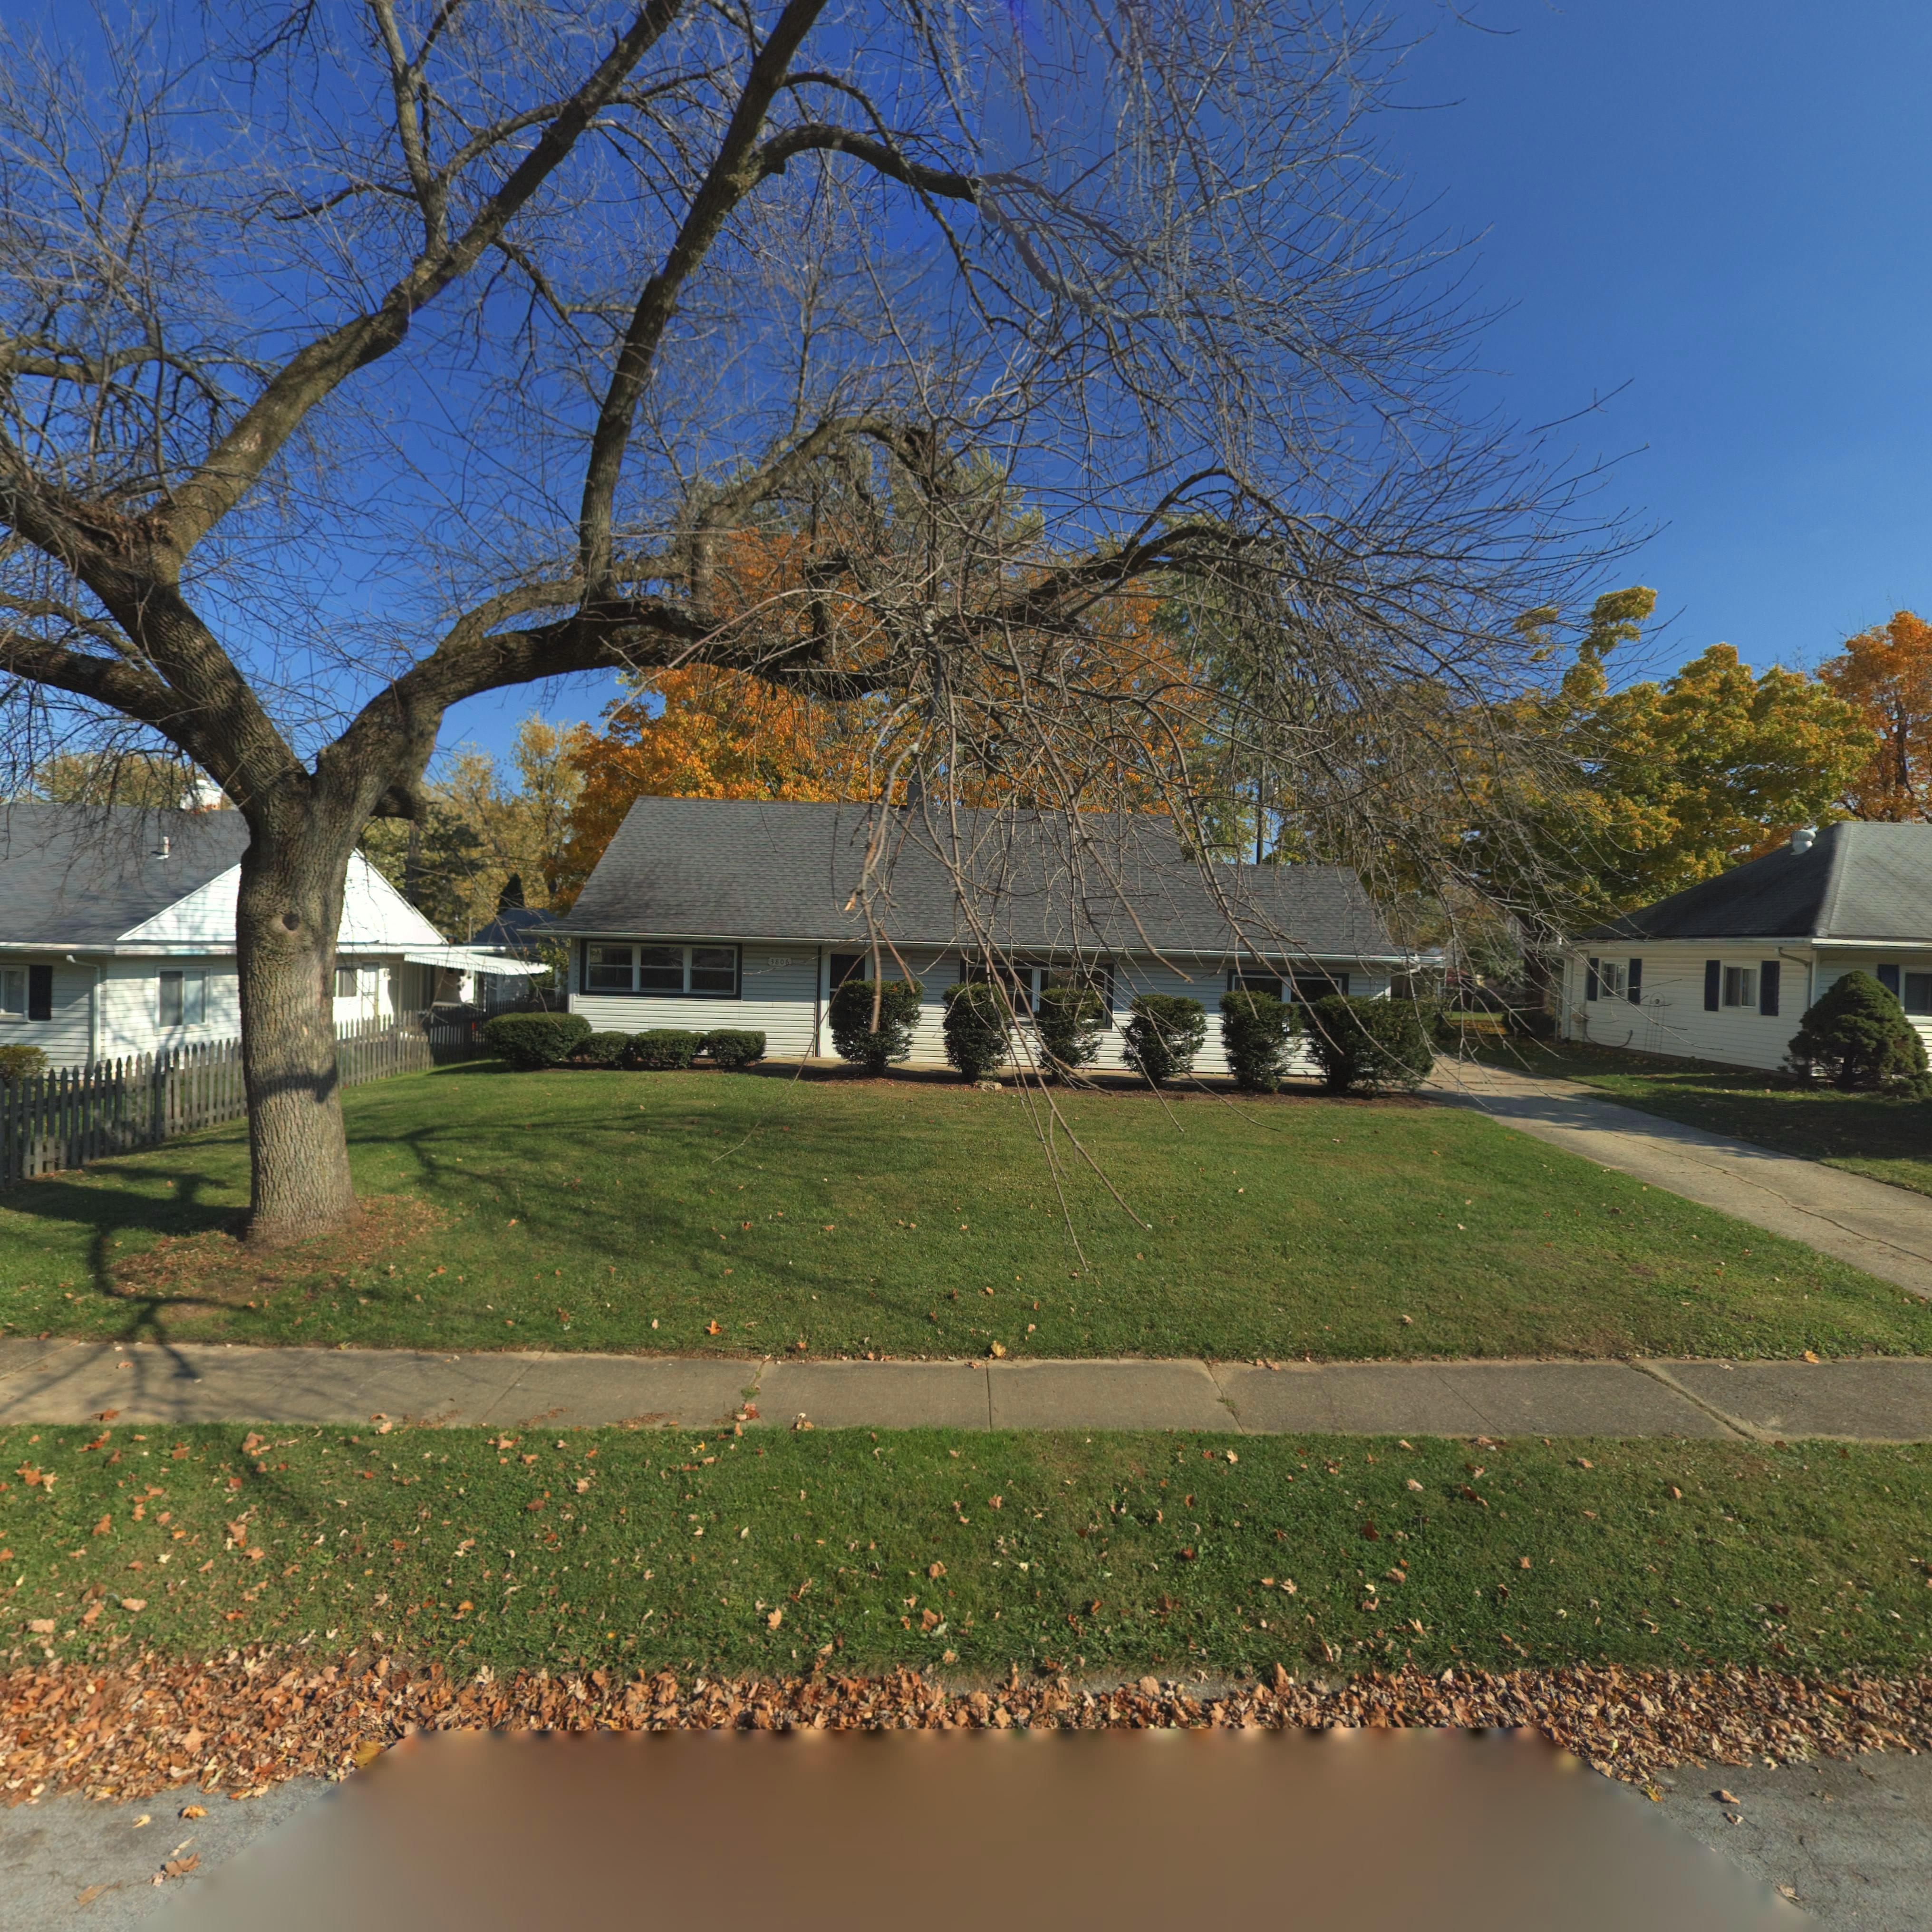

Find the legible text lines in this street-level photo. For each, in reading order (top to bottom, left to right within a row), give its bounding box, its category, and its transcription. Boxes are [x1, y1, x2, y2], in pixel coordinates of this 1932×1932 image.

[770, 958, 789, 965] StreetNumber: 3806